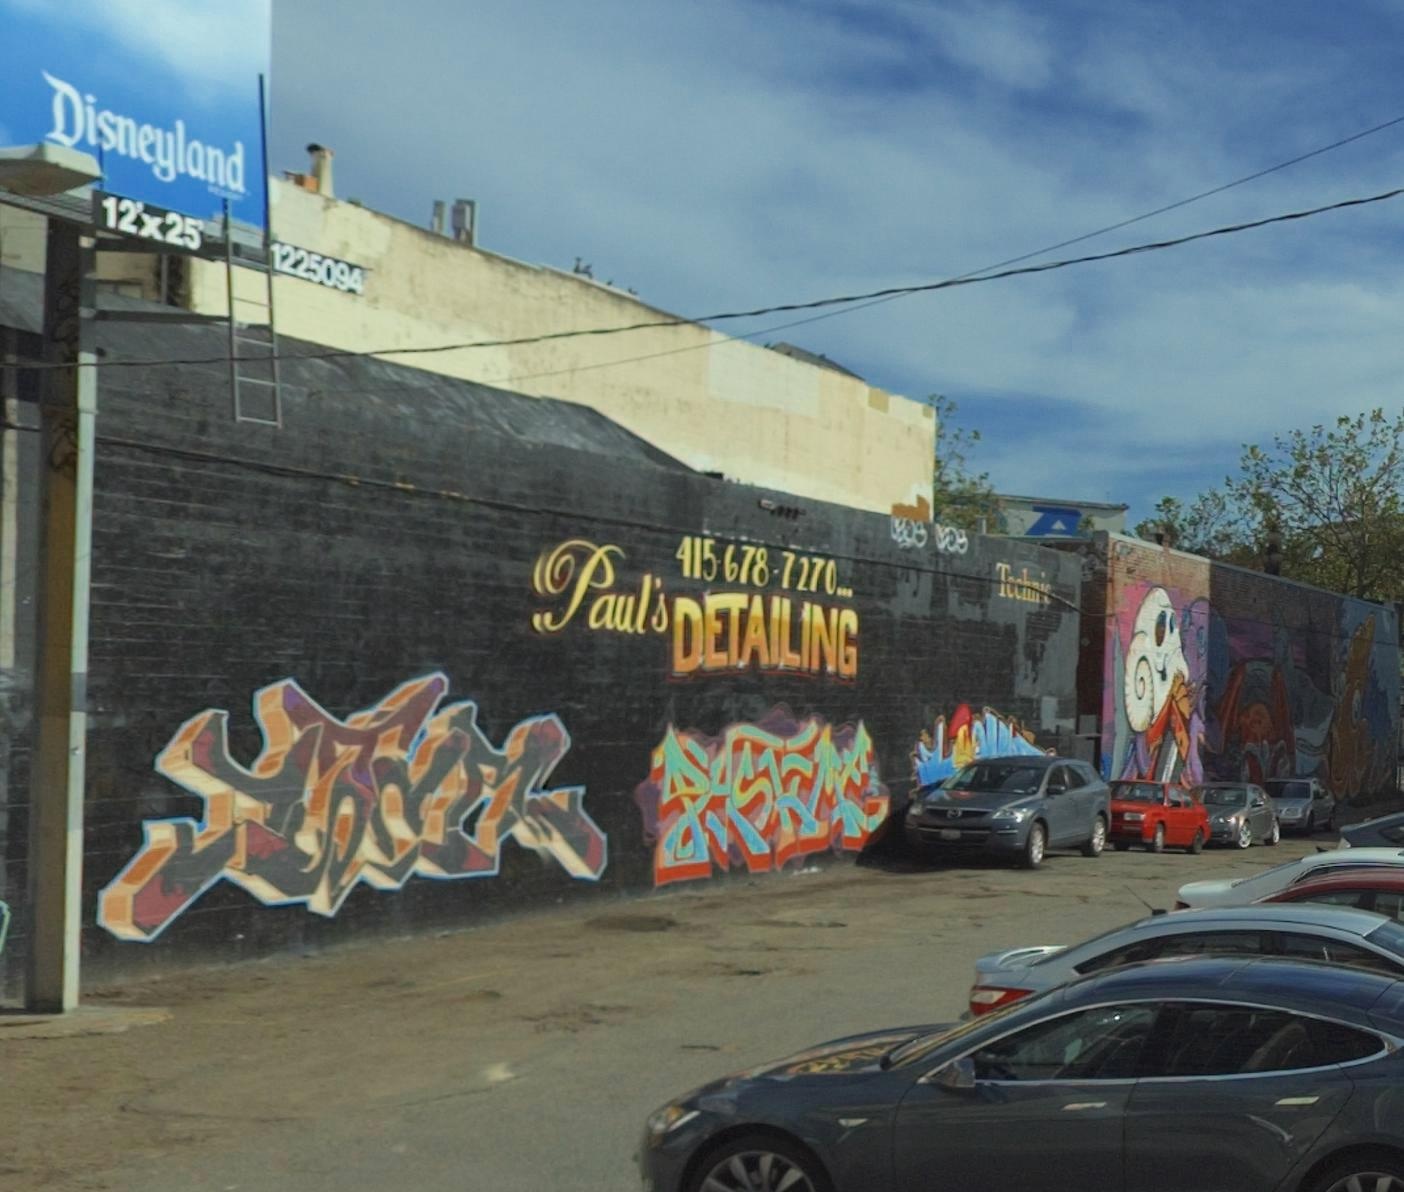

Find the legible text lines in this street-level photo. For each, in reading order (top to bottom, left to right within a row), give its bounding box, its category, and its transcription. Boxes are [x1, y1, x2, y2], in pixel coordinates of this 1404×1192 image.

[37, 64, 249, 198] None: Disneyland
[97, 190, 206, 255] None: 12'x25'
[267, 238, 365, 300] None: 1225094
[524, 533, 672, 641] BusinessName: Paul's
[670, 530, 858, 603] None: 415-678-7270...
[669, 587, 860, 682] BusinessName: DETAILING